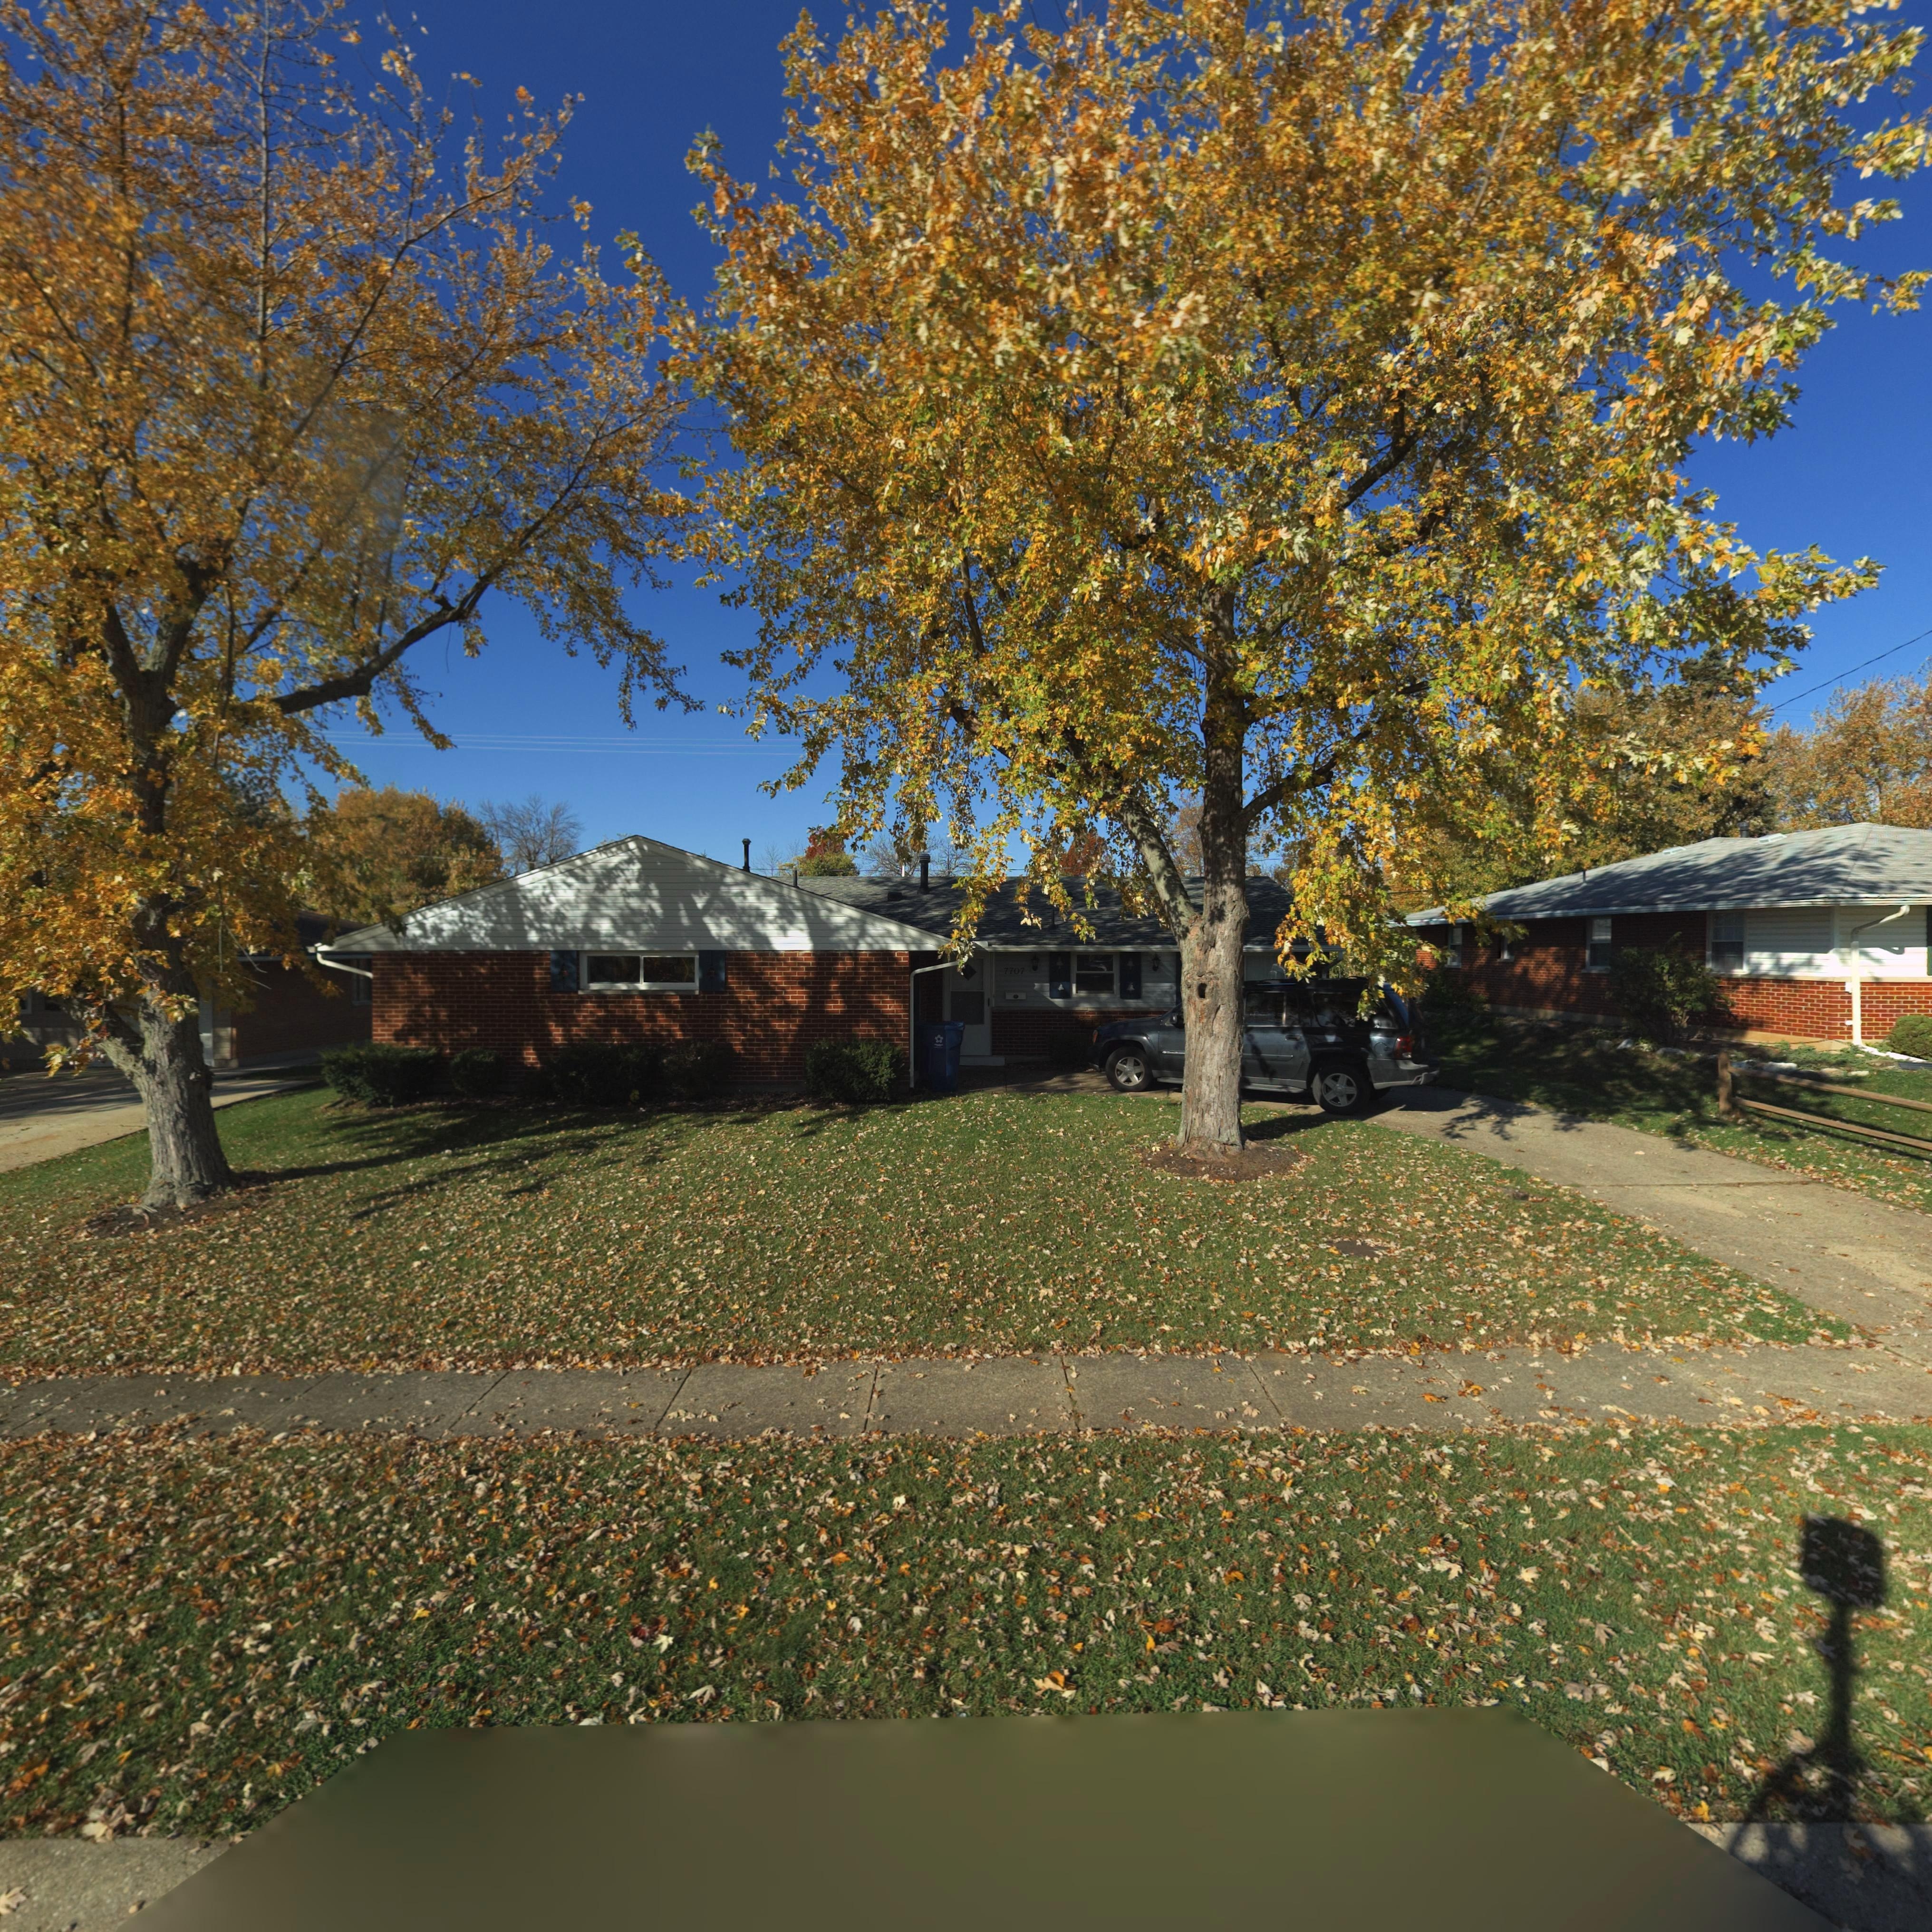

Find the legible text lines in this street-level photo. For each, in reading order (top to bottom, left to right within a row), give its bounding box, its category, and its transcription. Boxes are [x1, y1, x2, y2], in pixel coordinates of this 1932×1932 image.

[1004, 967, 1026, 975] StreetNumber: 7707